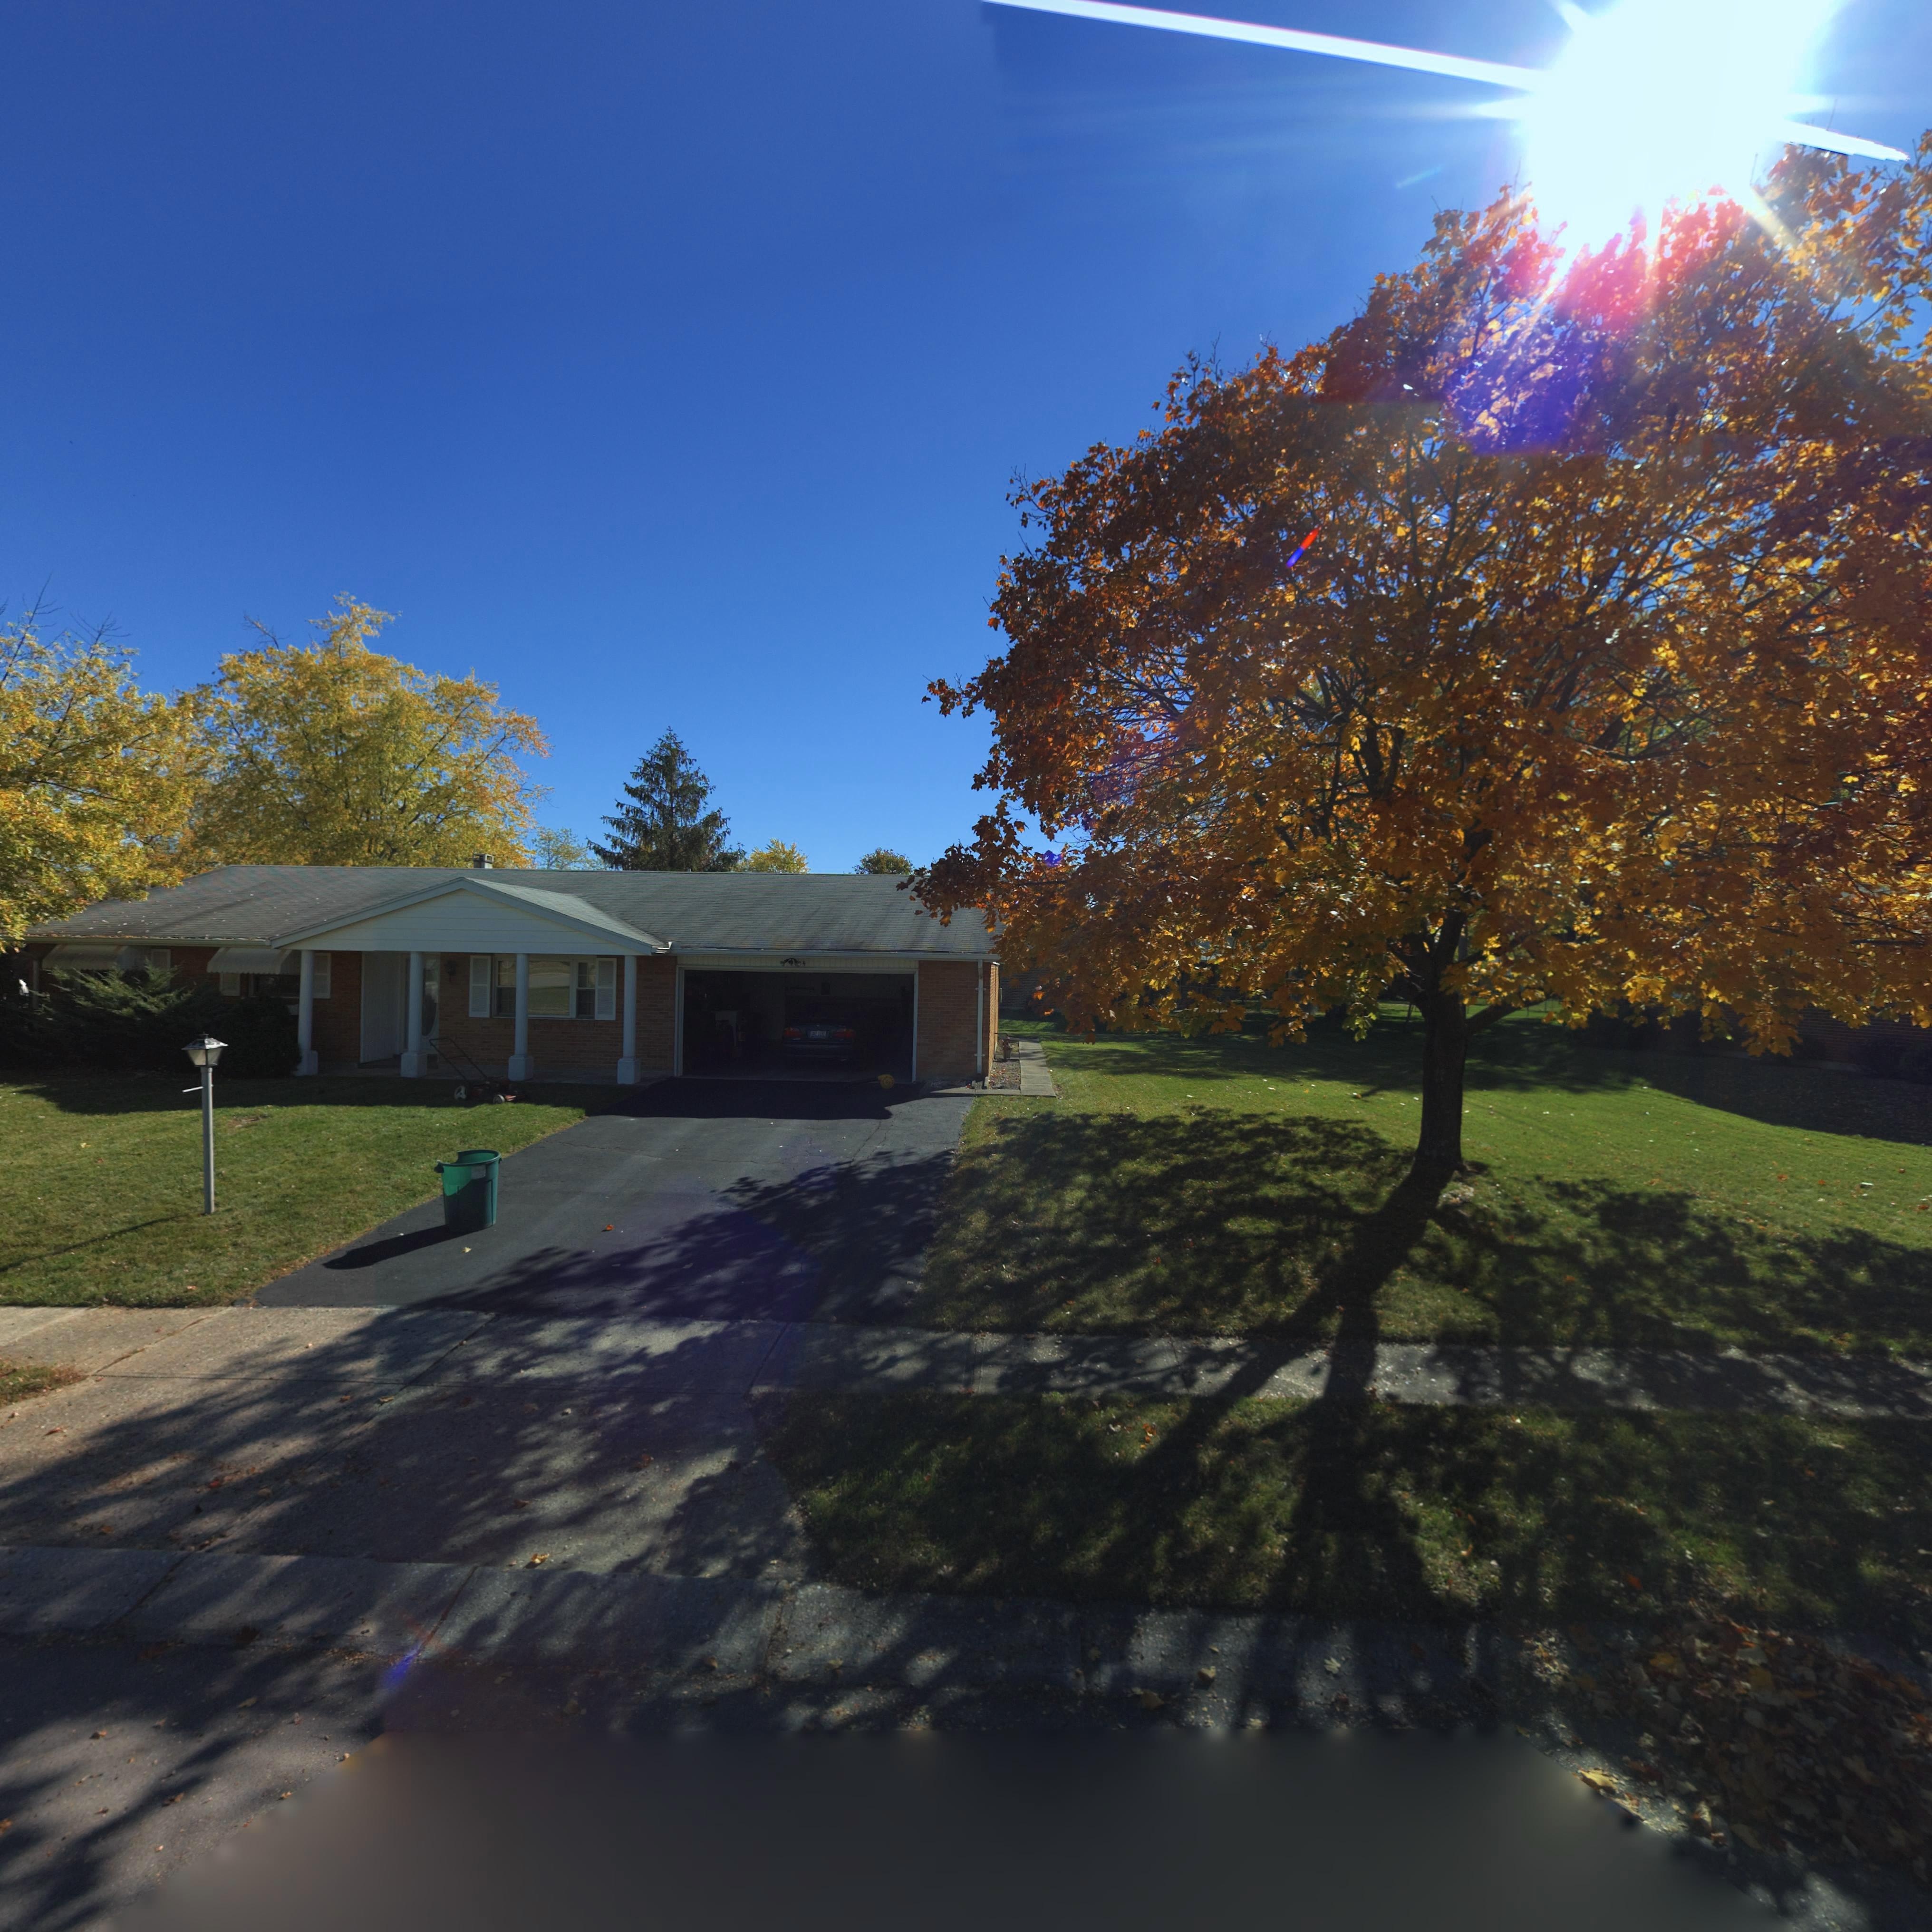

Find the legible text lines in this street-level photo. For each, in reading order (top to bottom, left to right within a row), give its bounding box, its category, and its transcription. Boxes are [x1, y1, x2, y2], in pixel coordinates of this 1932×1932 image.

[802, 960, 806, 966] StreetNumber: 4